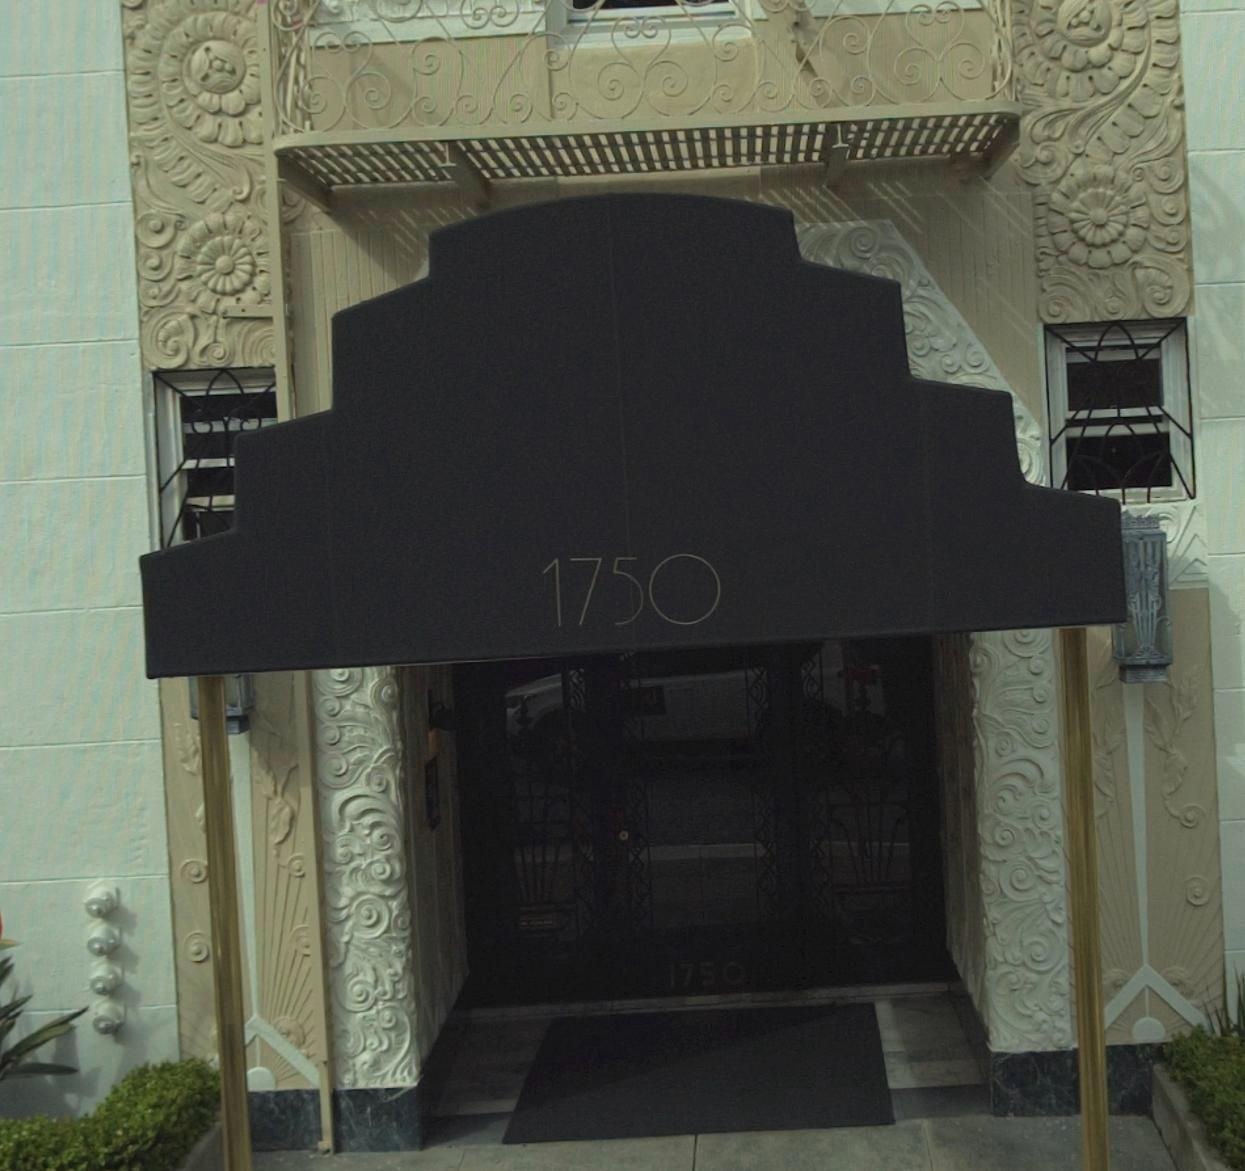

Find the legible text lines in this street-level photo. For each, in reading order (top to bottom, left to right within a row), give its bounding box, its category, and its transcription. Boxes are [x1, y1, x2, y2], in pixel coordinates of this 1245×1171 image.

[536, 550, 724, 632] StreetNumber: 1750
[665, 957, 748, 994] StreetNumber: 1750